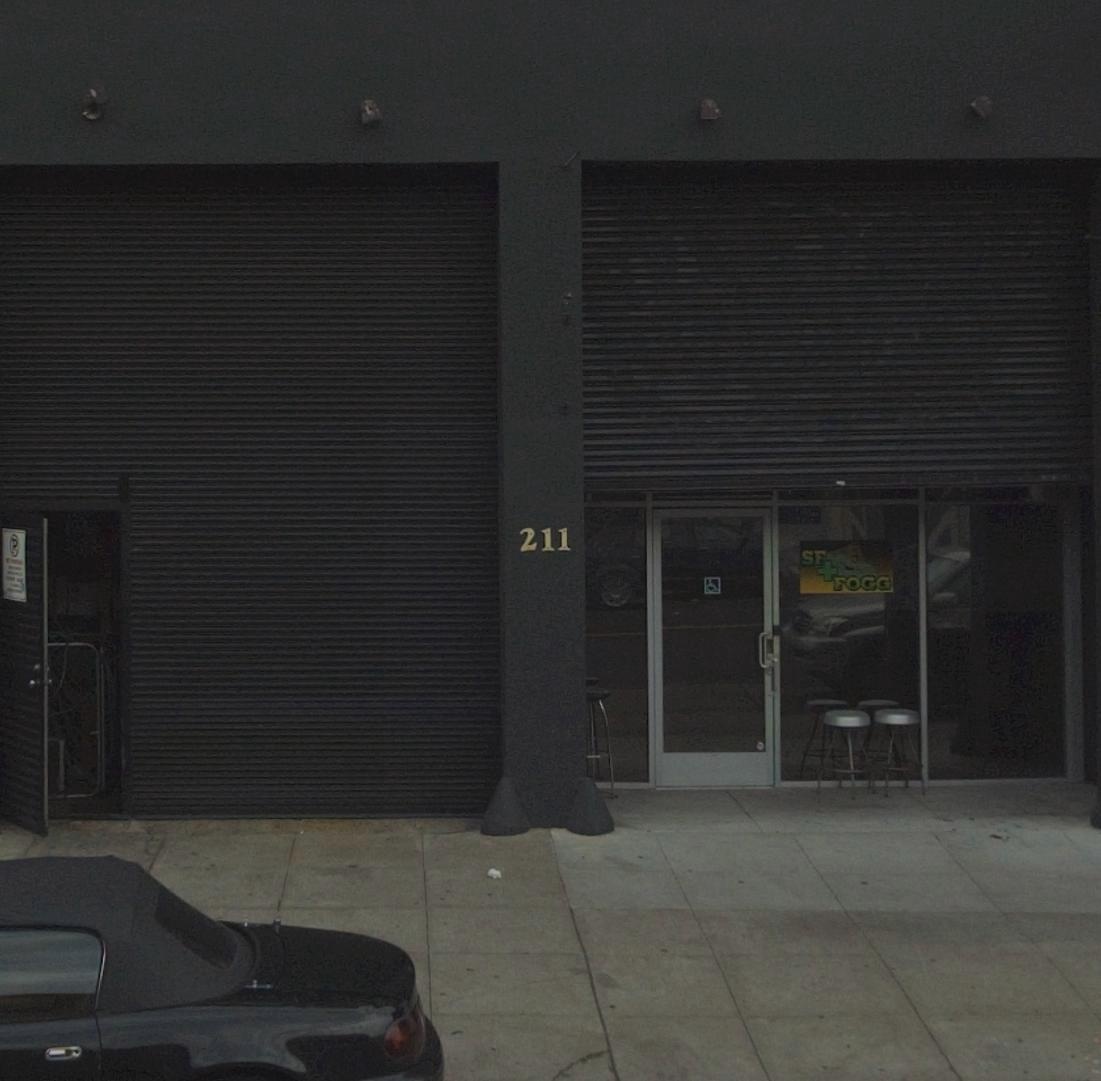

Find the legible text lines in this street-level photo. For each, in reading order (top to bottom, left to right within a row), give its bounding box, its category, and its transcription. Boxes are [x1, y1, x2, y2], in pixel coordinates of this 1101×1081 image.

[517, 525, 573, 554] StreetNumber: 211
[800, 548, 828, 567] BusinessName: SF
[831, 573, 894, 593] BusinessName: FOGG